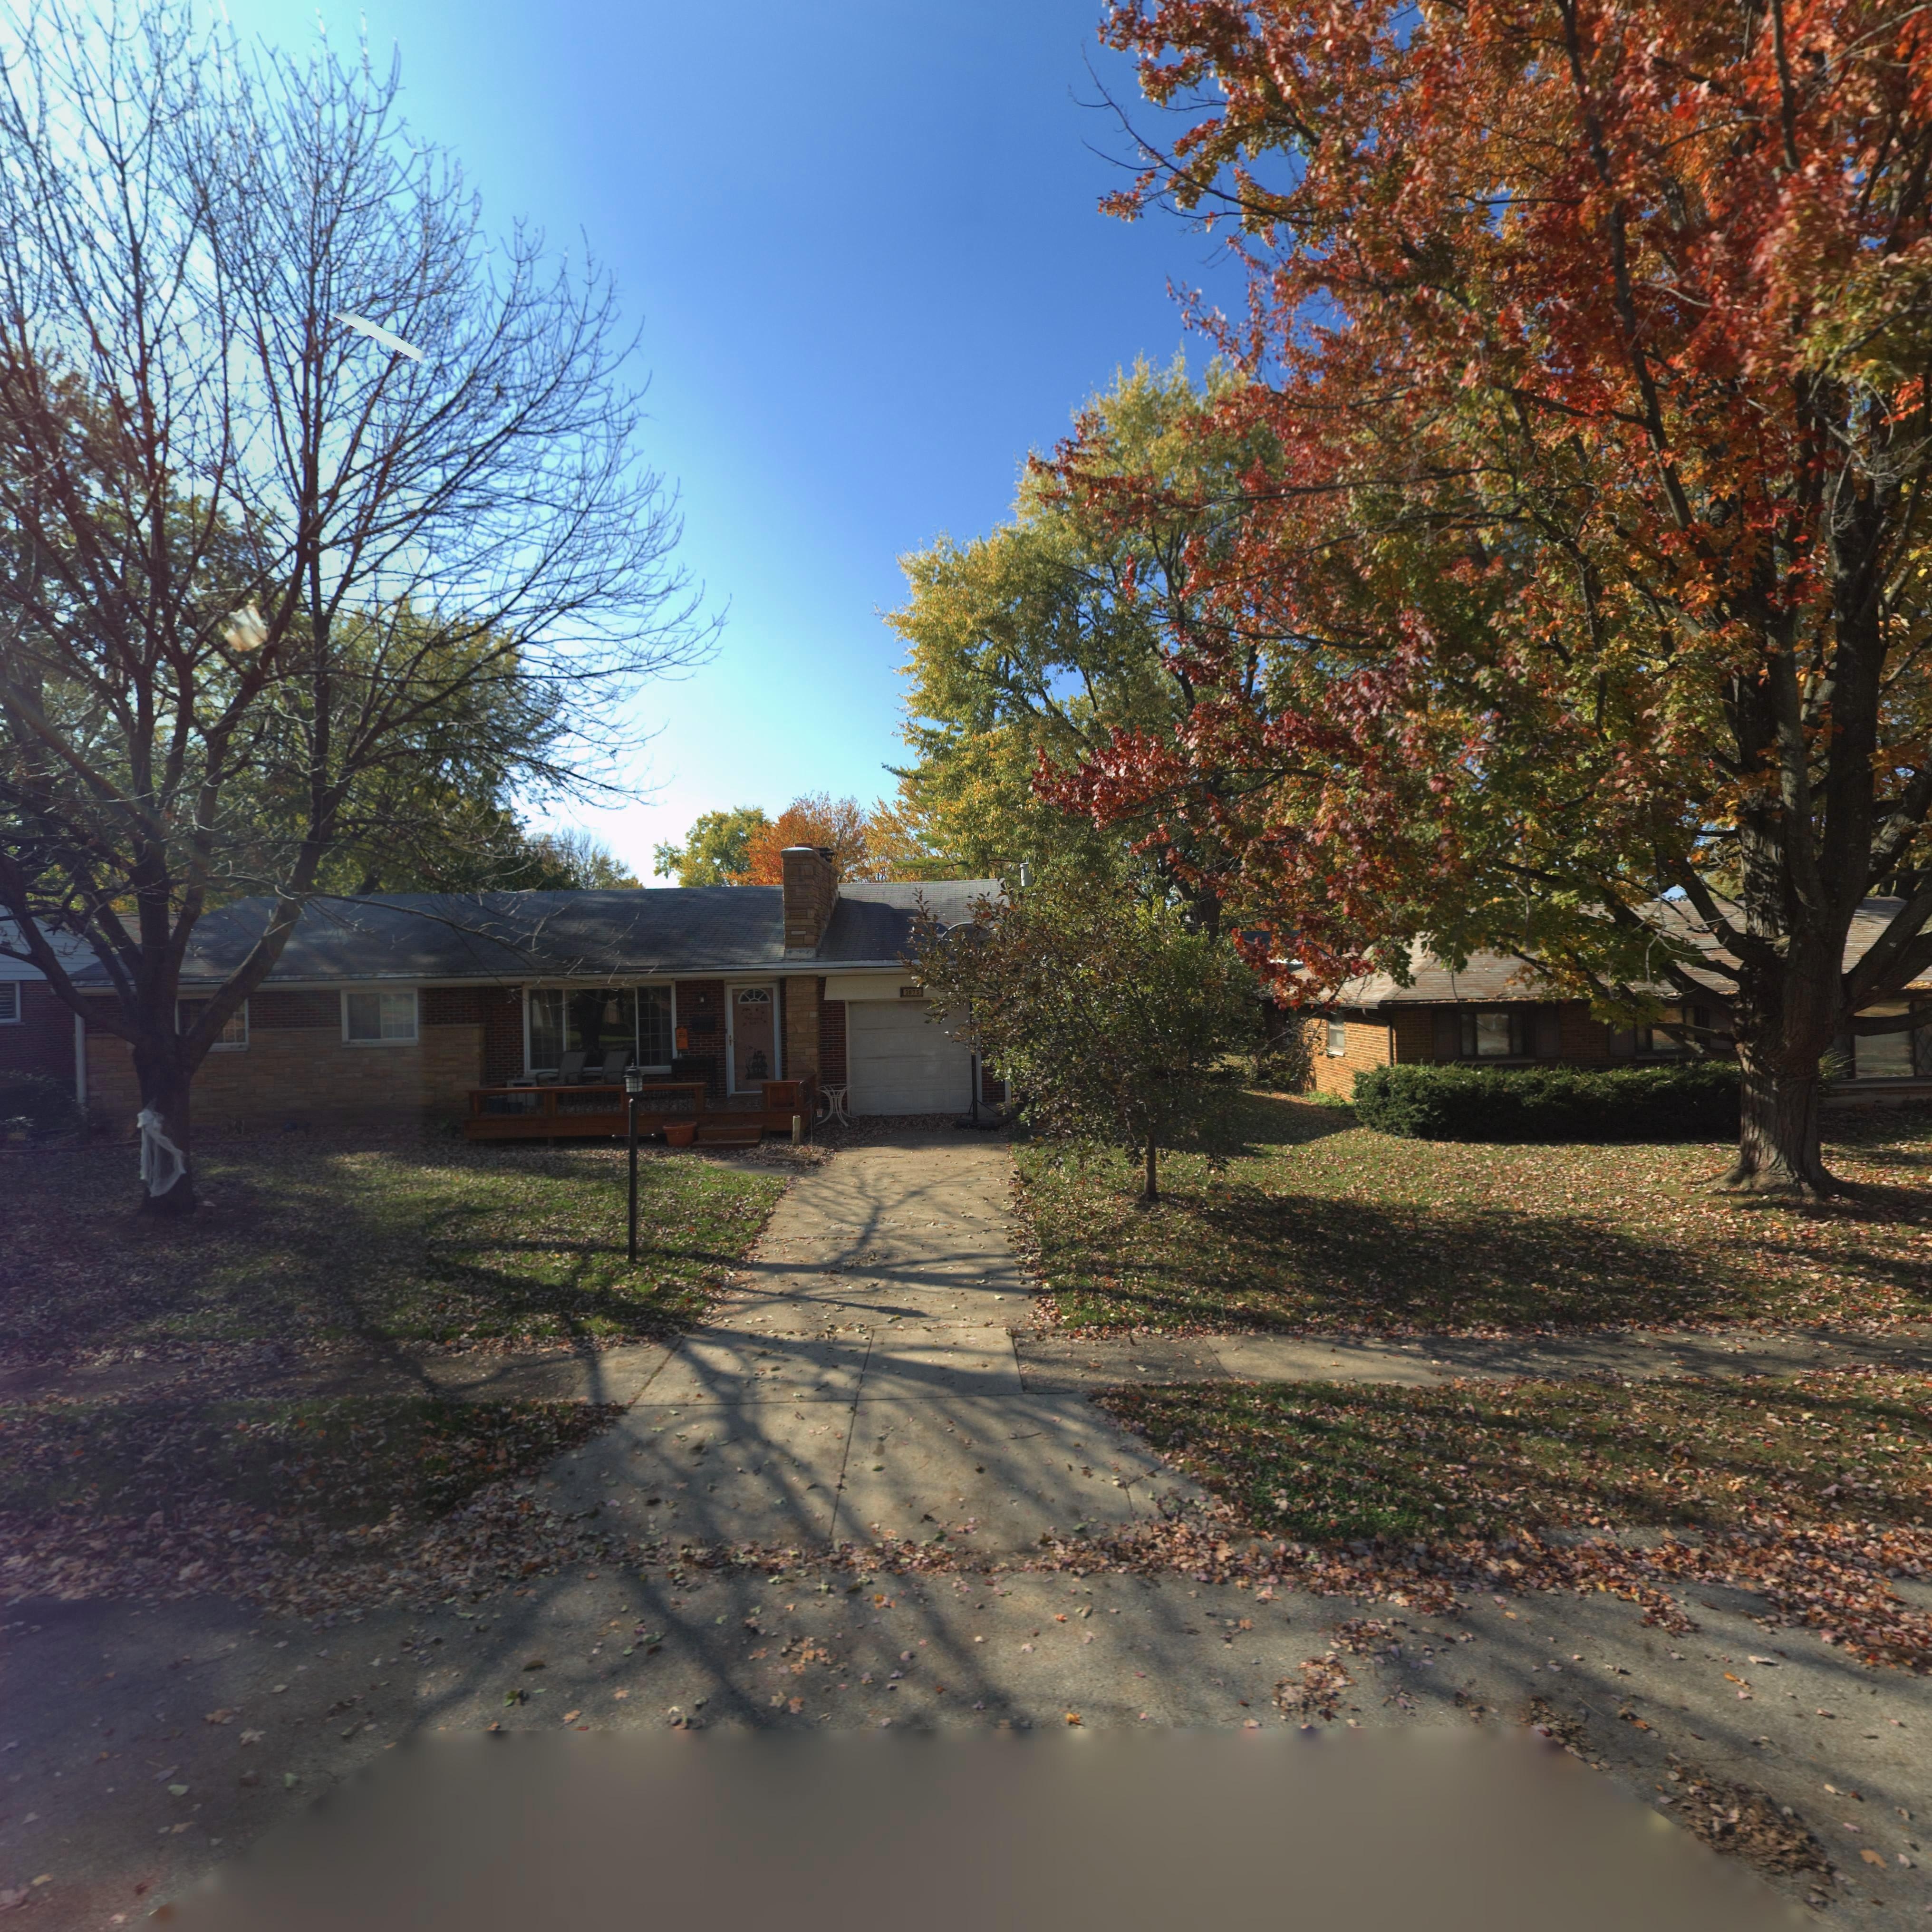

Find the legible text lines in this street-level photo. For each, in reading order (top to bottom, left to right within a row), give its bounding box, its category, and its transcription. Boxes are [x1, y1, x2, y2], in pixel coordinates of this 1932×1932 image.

[905, 989, 920, 995] StreetNumber: 3875